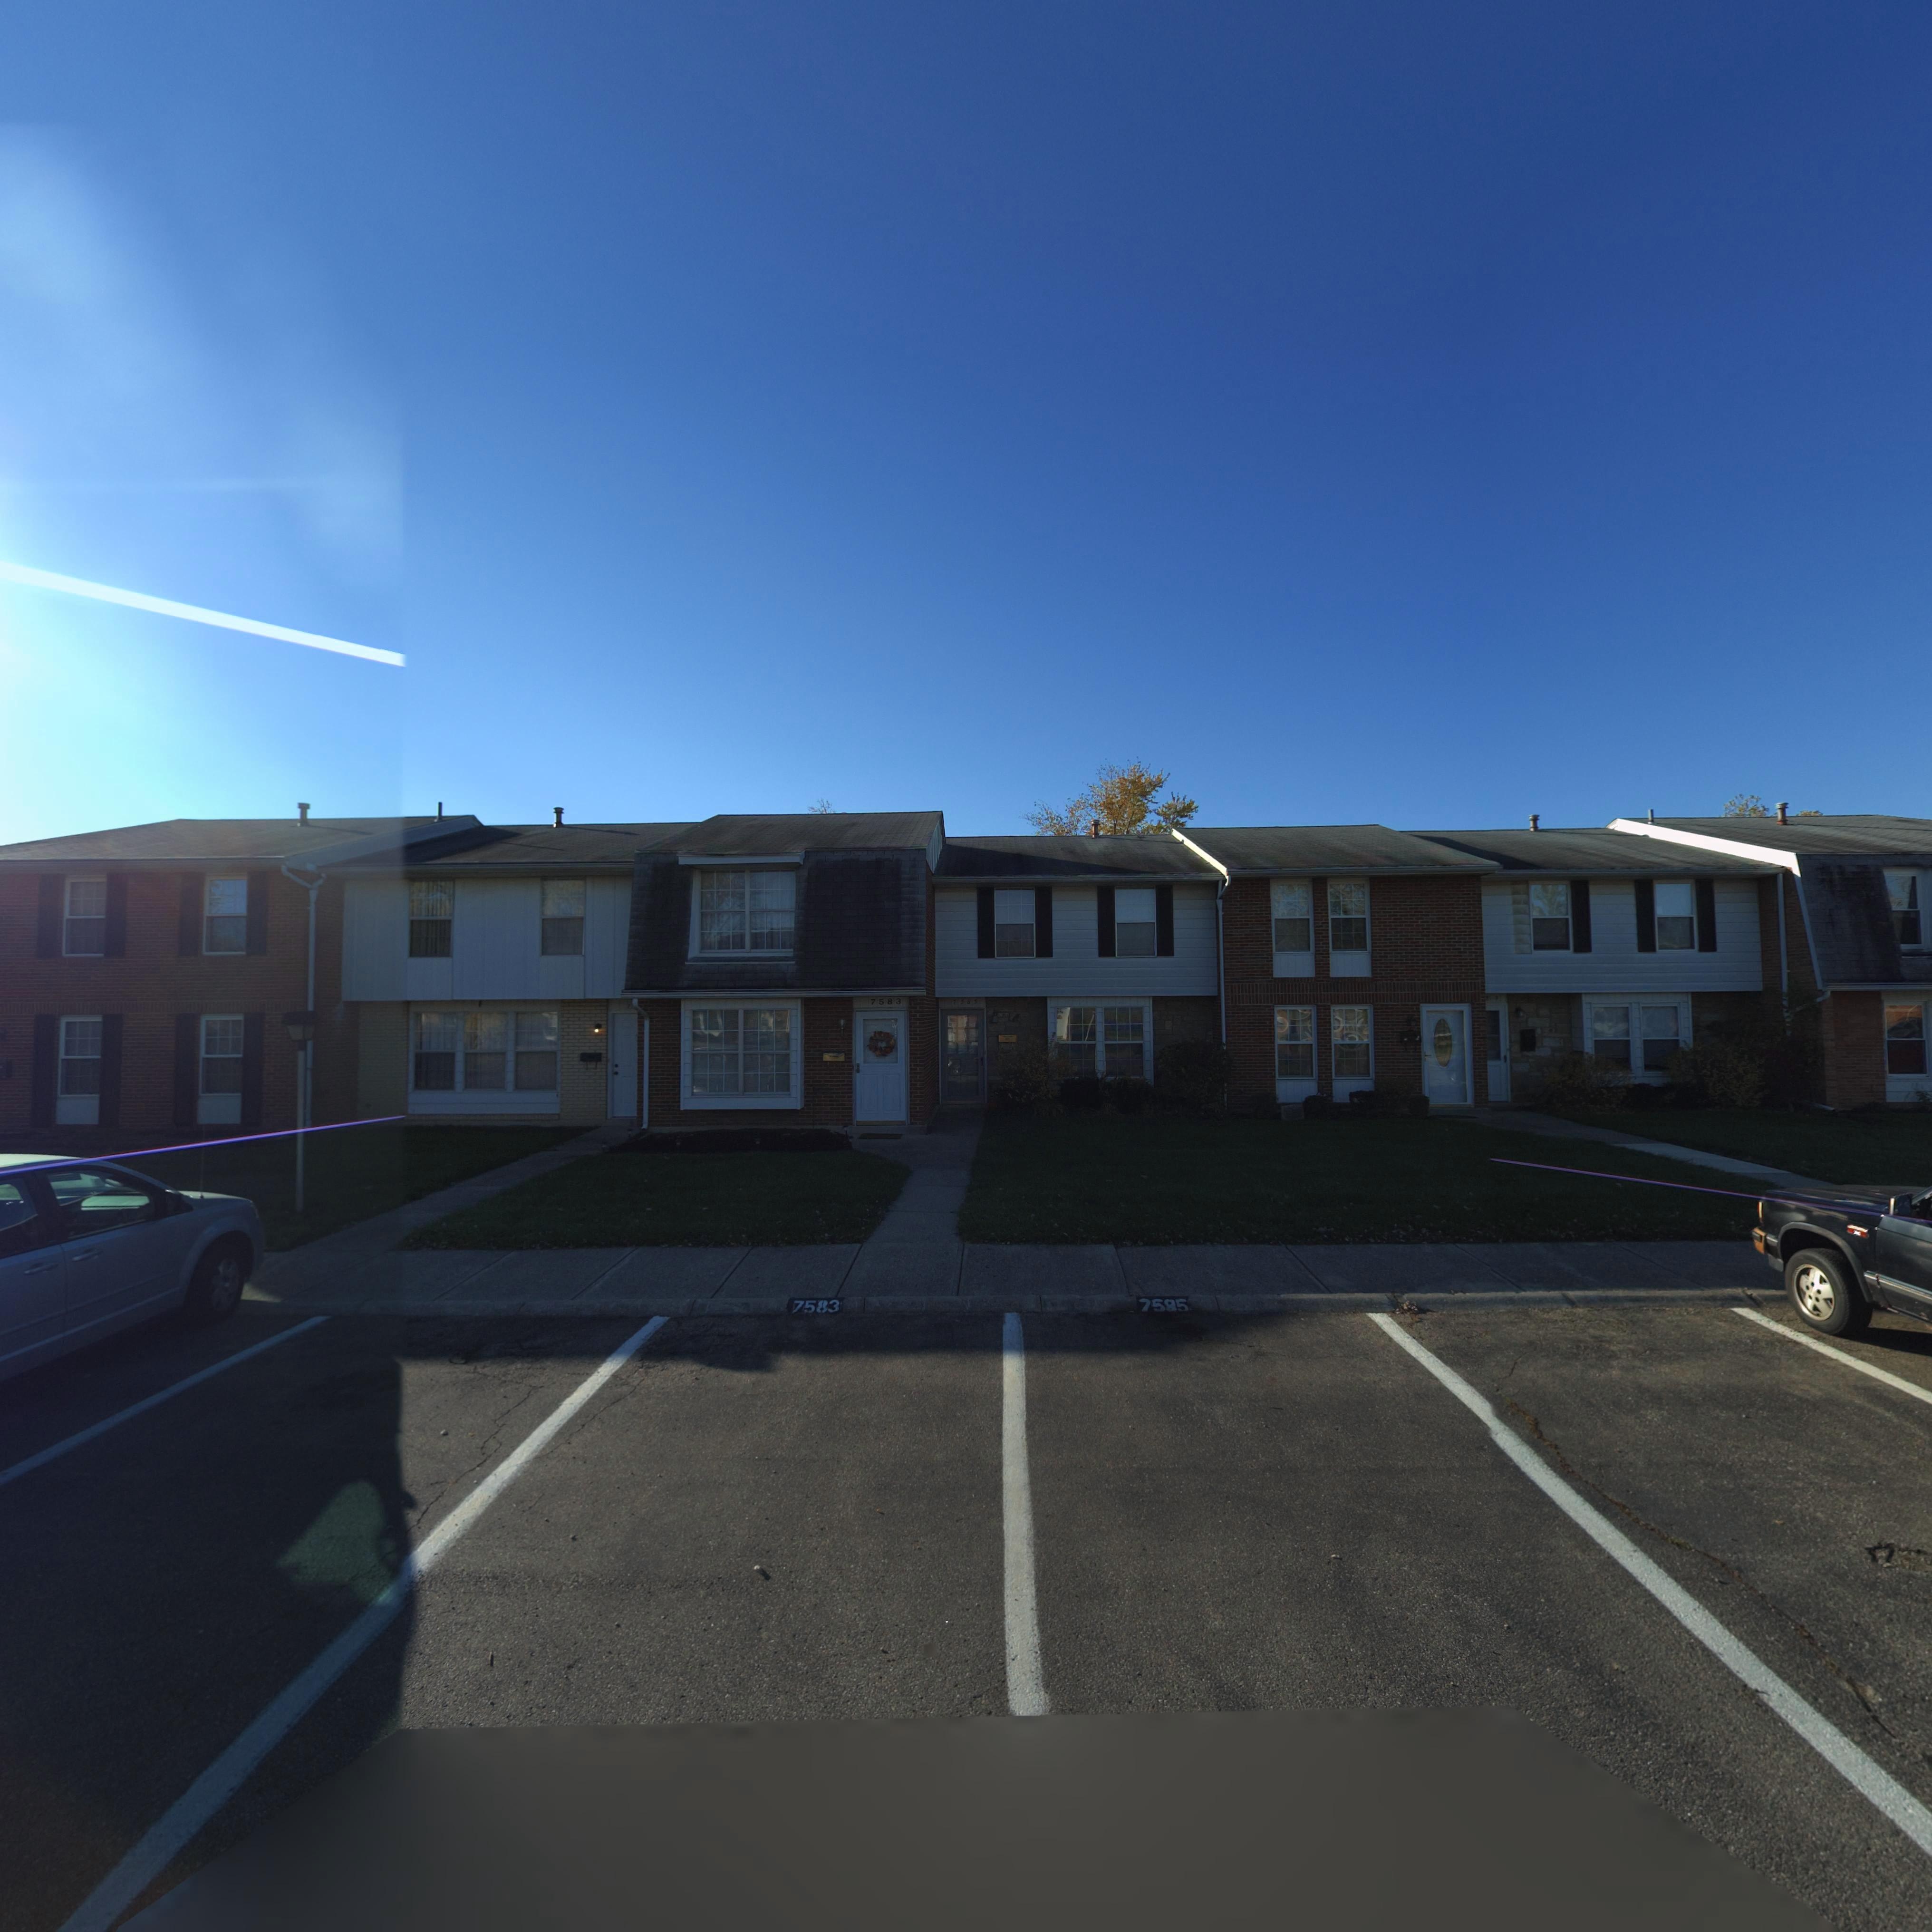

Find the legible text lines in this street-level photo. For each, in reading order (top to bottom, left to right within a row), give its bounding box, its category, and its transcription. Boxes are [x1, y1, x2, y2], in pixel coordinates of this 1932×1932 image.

[869, 998, 901, 1005] StreetNumber: 7583
[953, 998, 979, 1005] StreetNumber: 7585
[1485, 995, 1499, 1002] StreetNumber: 89
[627, 1003, 631, 1009] StreetNumber: 7
[791, 1298, 841, 1314] StreetNumber: 7583
[1137, 1298, 1190, 1314] StreetNumber: 7585